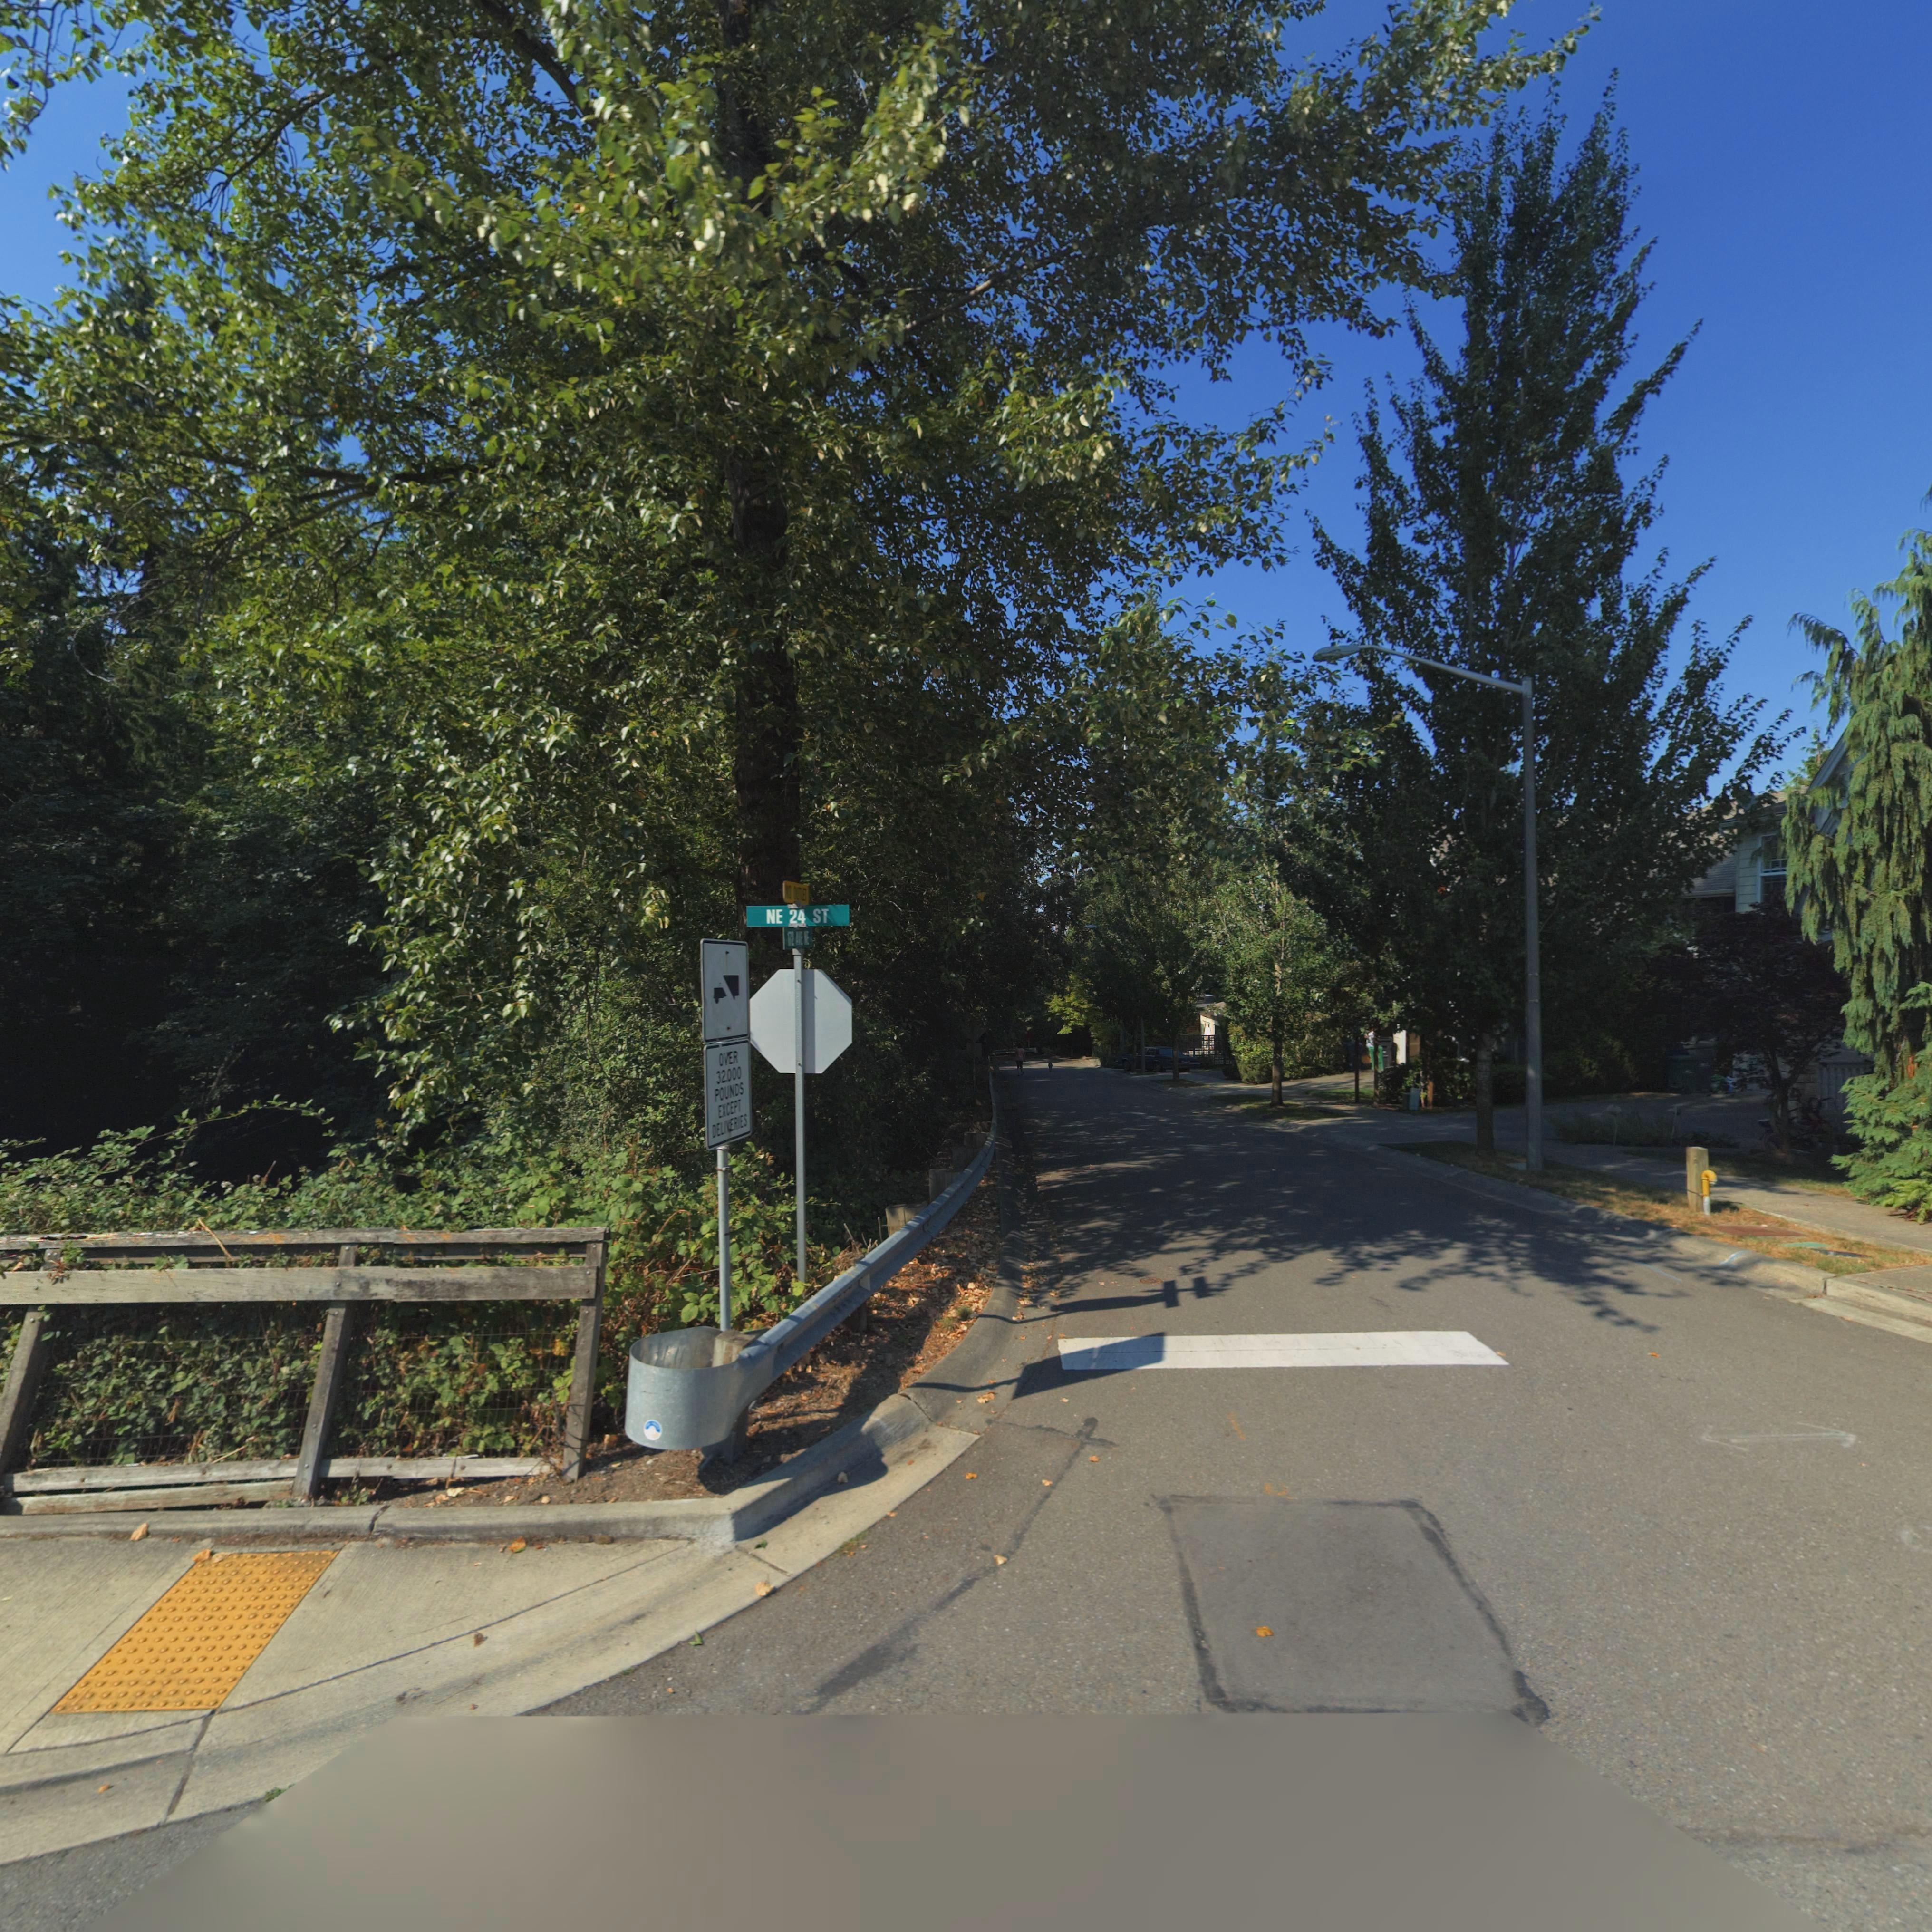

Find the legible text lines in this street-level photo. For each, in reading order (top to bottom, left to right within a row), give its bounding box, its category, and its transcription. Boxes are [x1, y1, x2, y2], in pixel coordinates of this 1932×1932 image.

[765, 908, 830, 925] StreetName: NE 24 ST